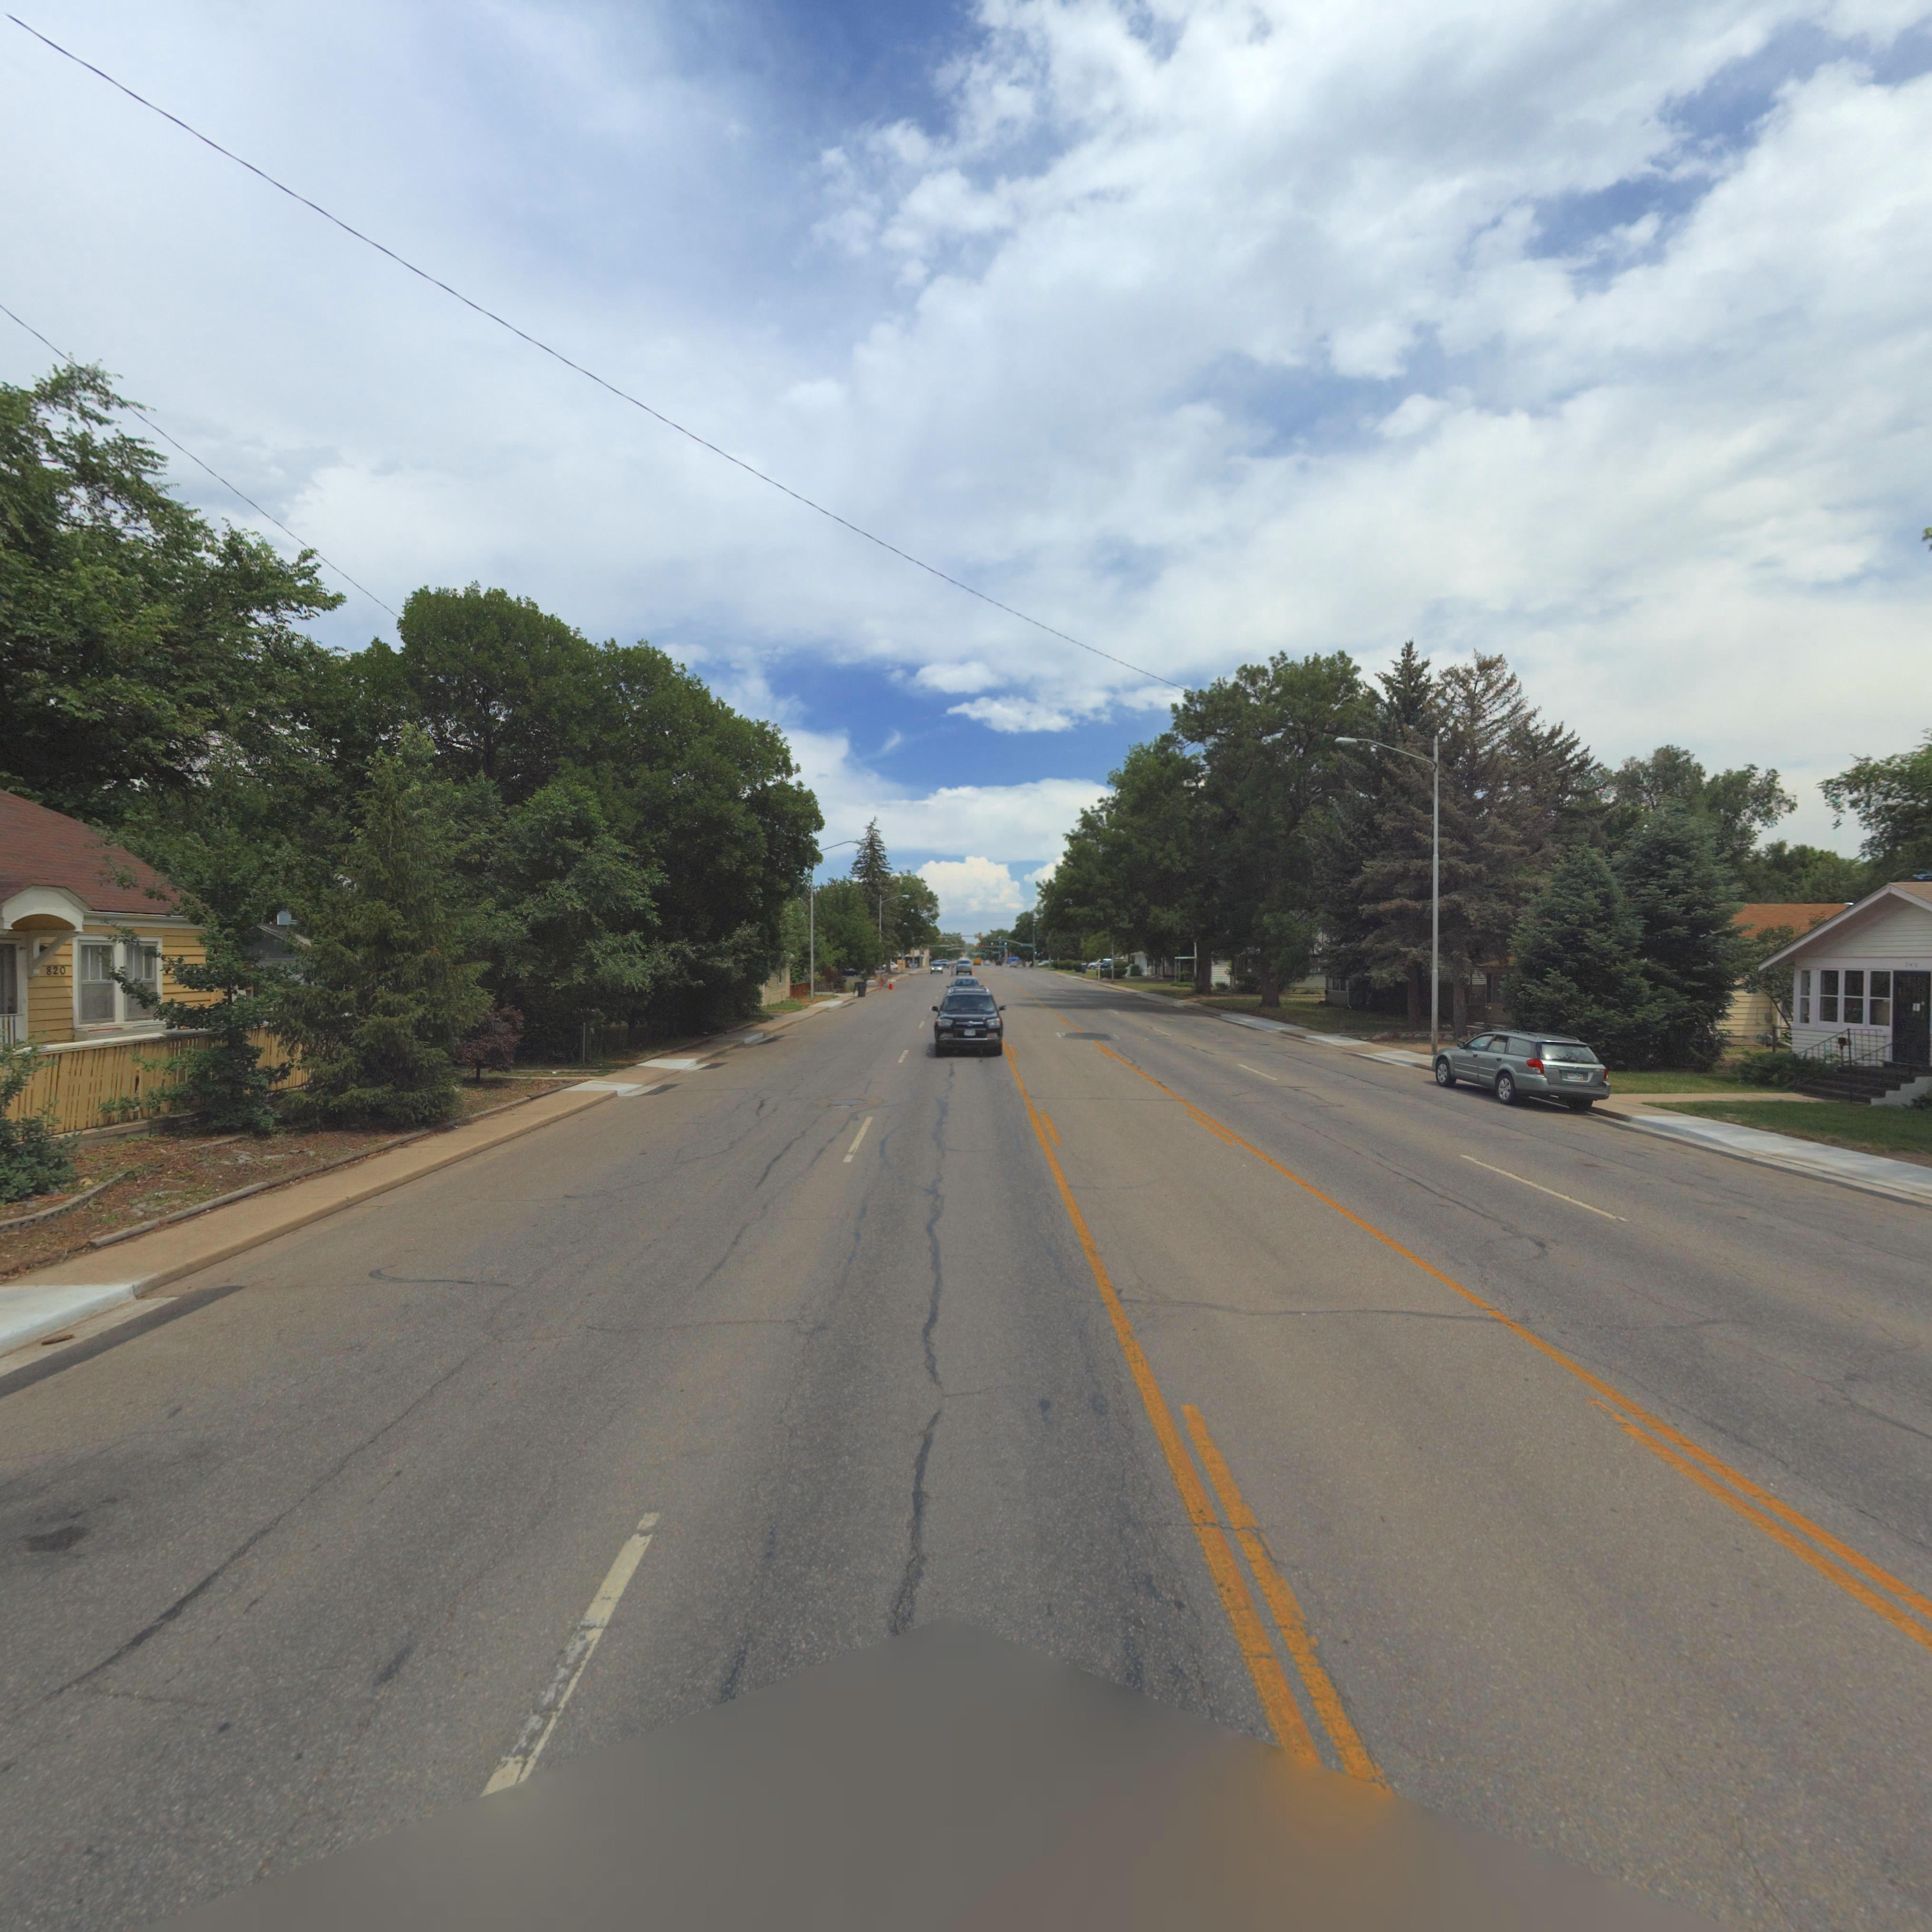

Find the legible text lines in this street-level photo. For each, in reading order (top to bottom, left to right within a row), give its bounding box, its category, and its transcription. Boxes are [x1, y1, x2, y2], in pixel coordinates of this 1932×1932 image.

[1905, 962, 1918, 967] StreetNumber: 745
[46, 966, 66, 975] StreetNumber: 820